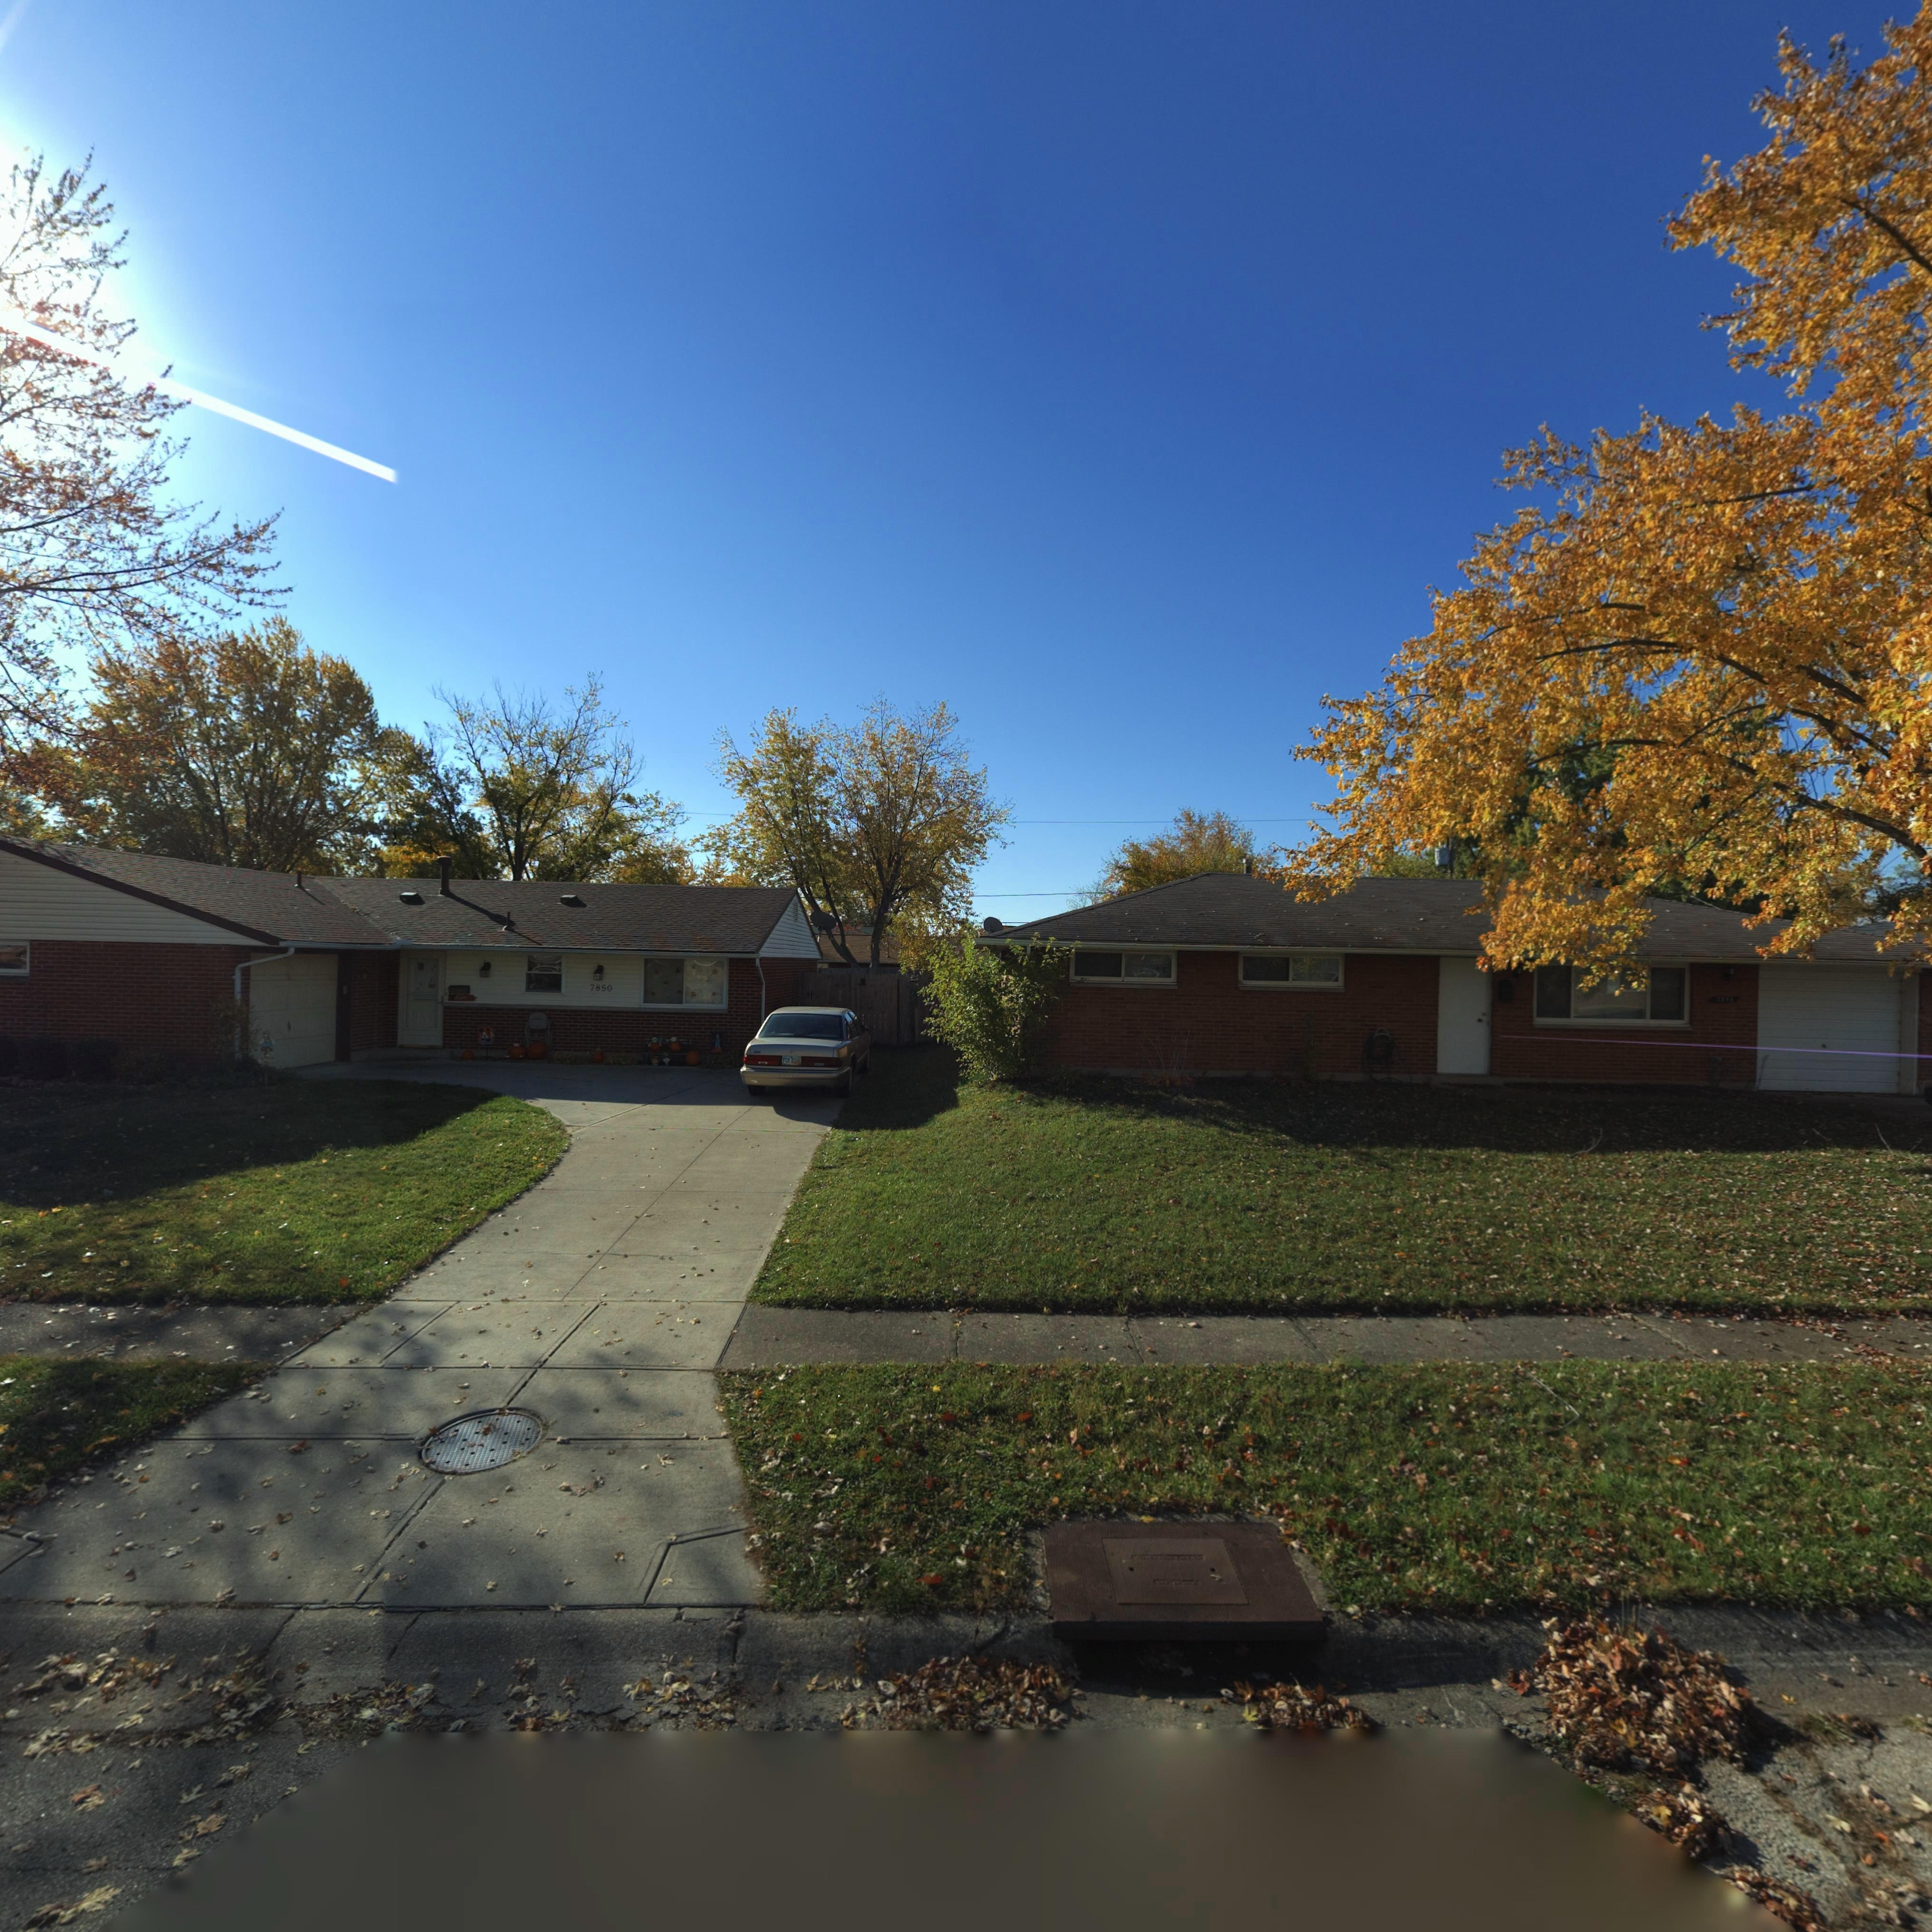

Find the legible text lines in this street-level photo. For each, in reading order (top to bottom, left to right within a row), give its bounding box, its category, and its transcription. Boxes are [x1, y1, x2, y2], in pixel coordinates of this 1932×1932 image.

[590, 984, 613, 993] StreetNumber: 7850
[1716, 996, 1735, 1004] StreetNumber: 78**